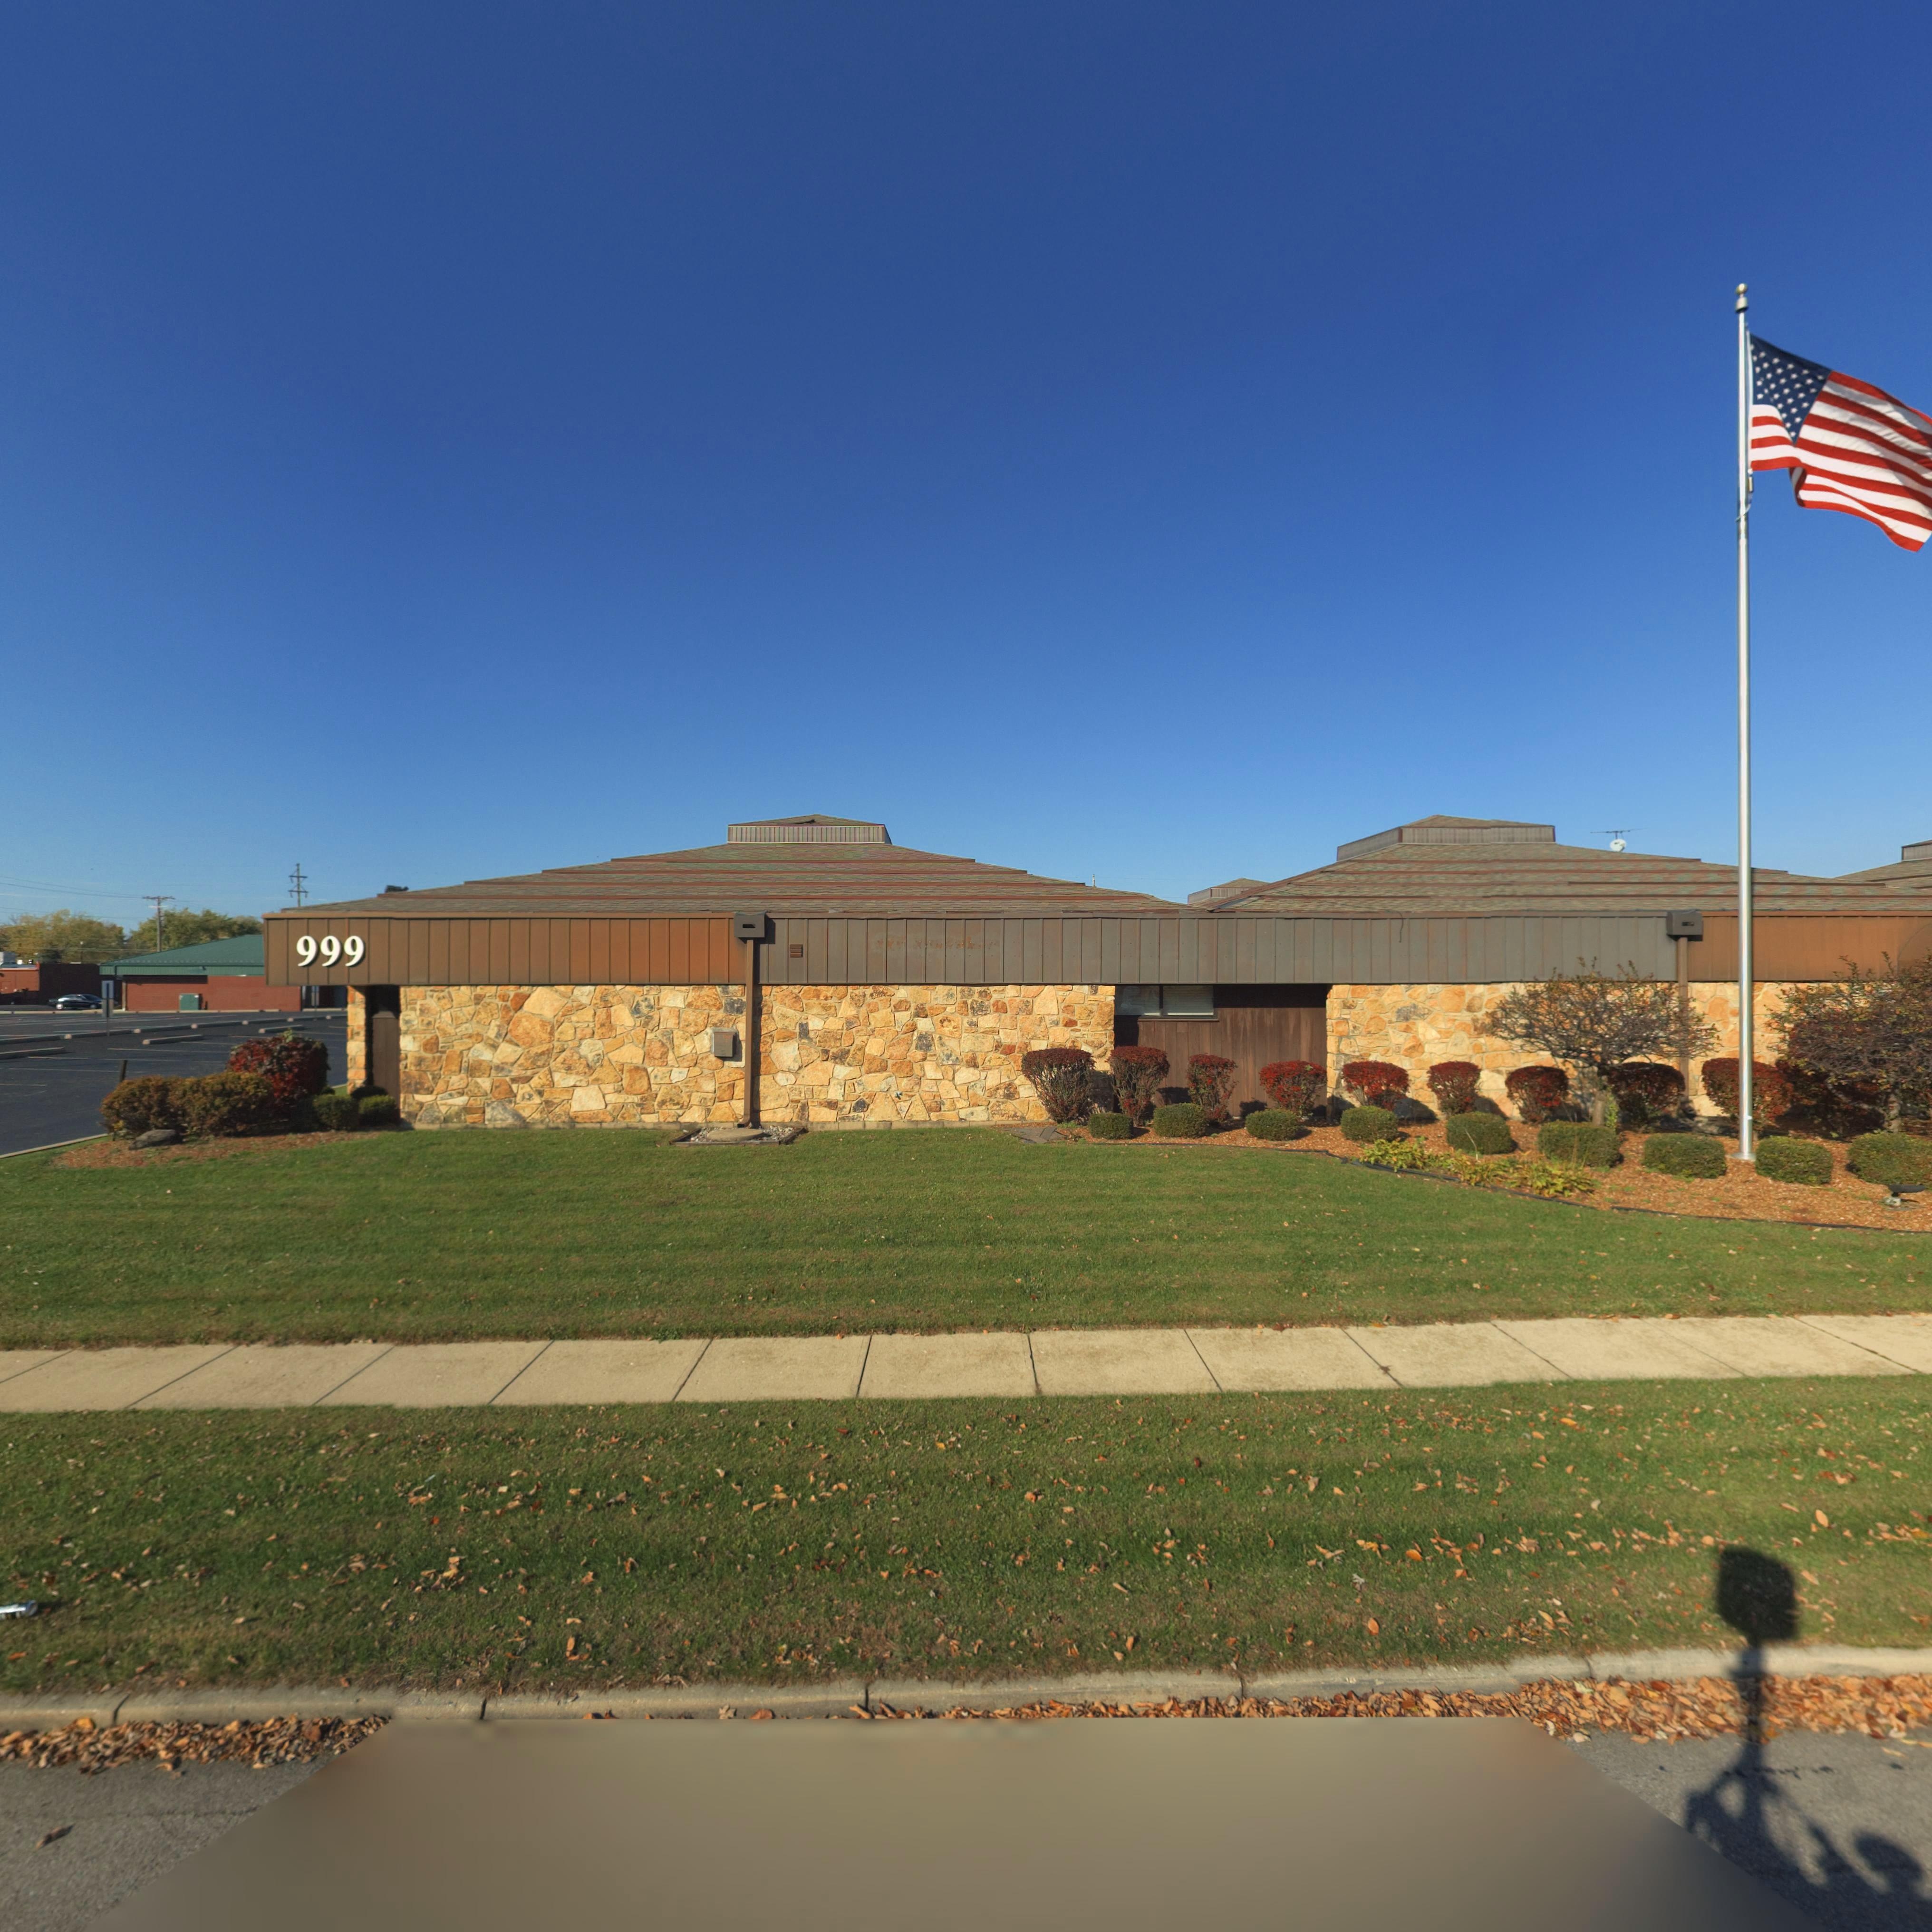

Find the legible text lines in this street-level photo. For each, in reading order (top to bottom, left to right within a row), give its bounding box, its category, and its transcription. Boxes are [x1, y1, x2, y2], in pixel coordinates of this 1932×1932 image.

[296, 935, 365, 967] StreetNumber: 999